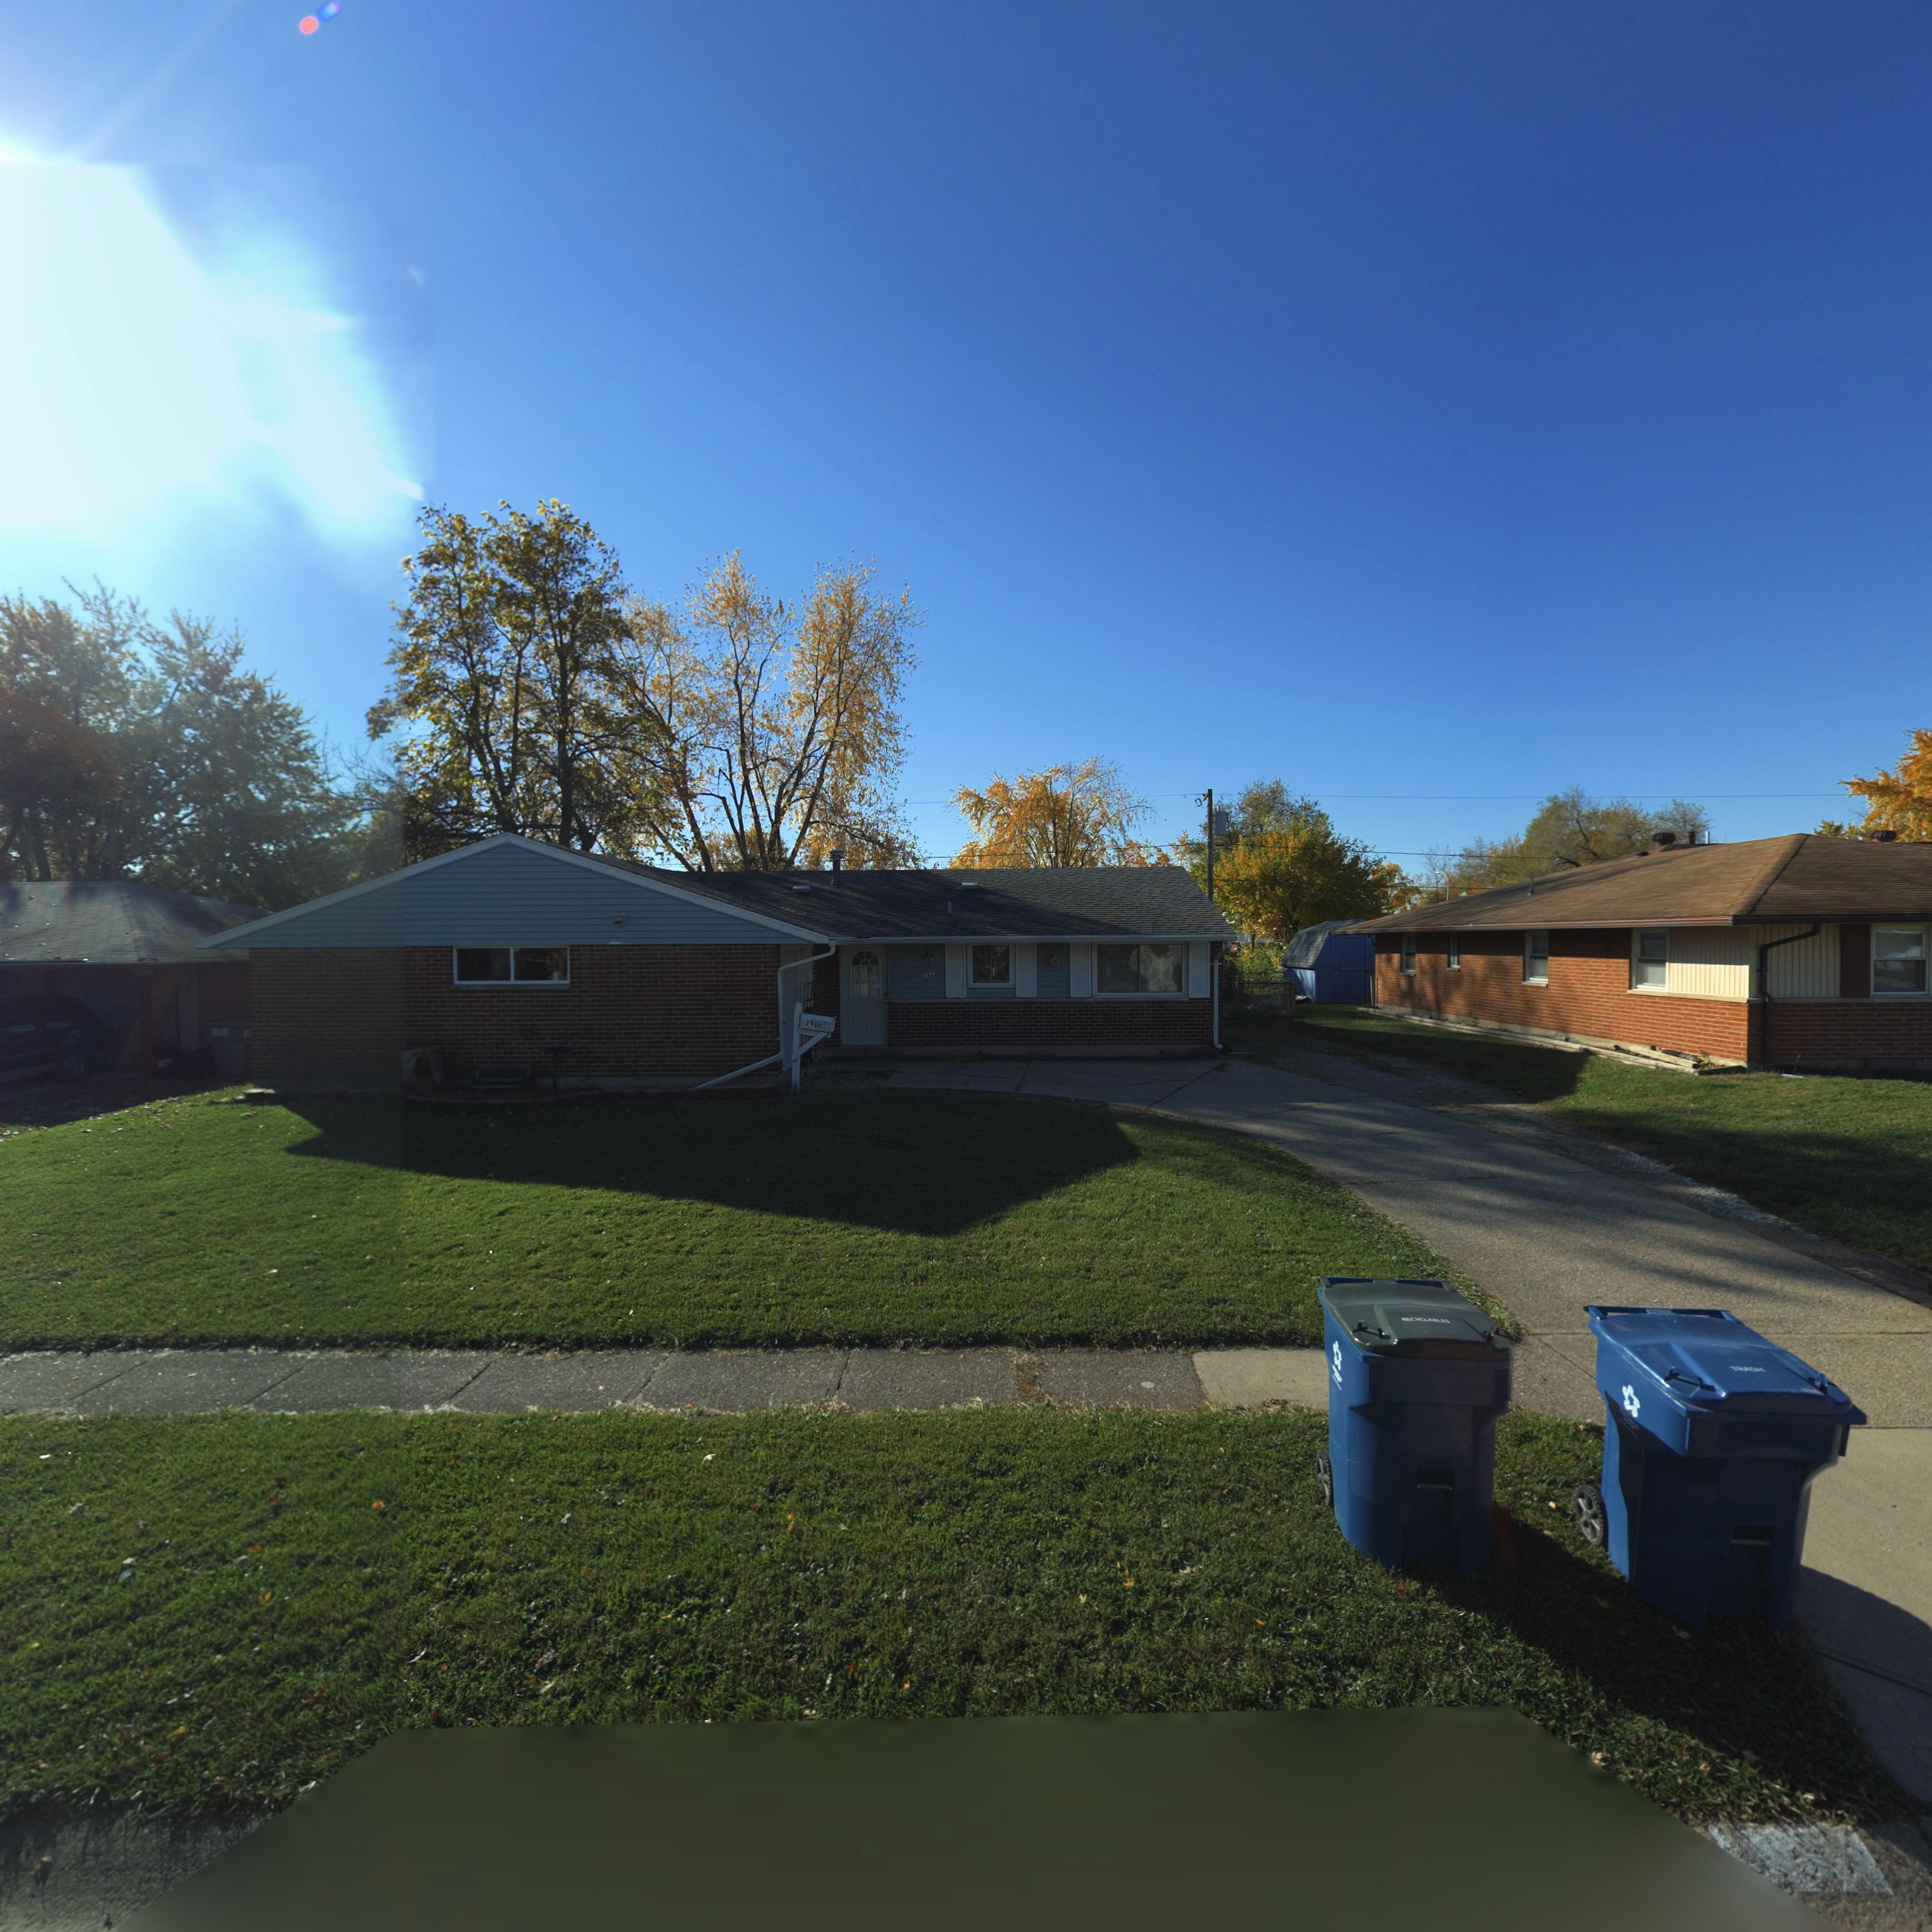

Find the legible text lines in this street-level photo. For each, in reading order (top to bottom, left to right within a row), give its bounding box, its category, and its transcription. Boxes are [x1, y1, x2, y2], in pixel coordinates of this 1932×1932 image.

[923, 972, 937, 978] StreetNumber: 7966
[805, 1020, 822, 1027] StreetNumber: 7966